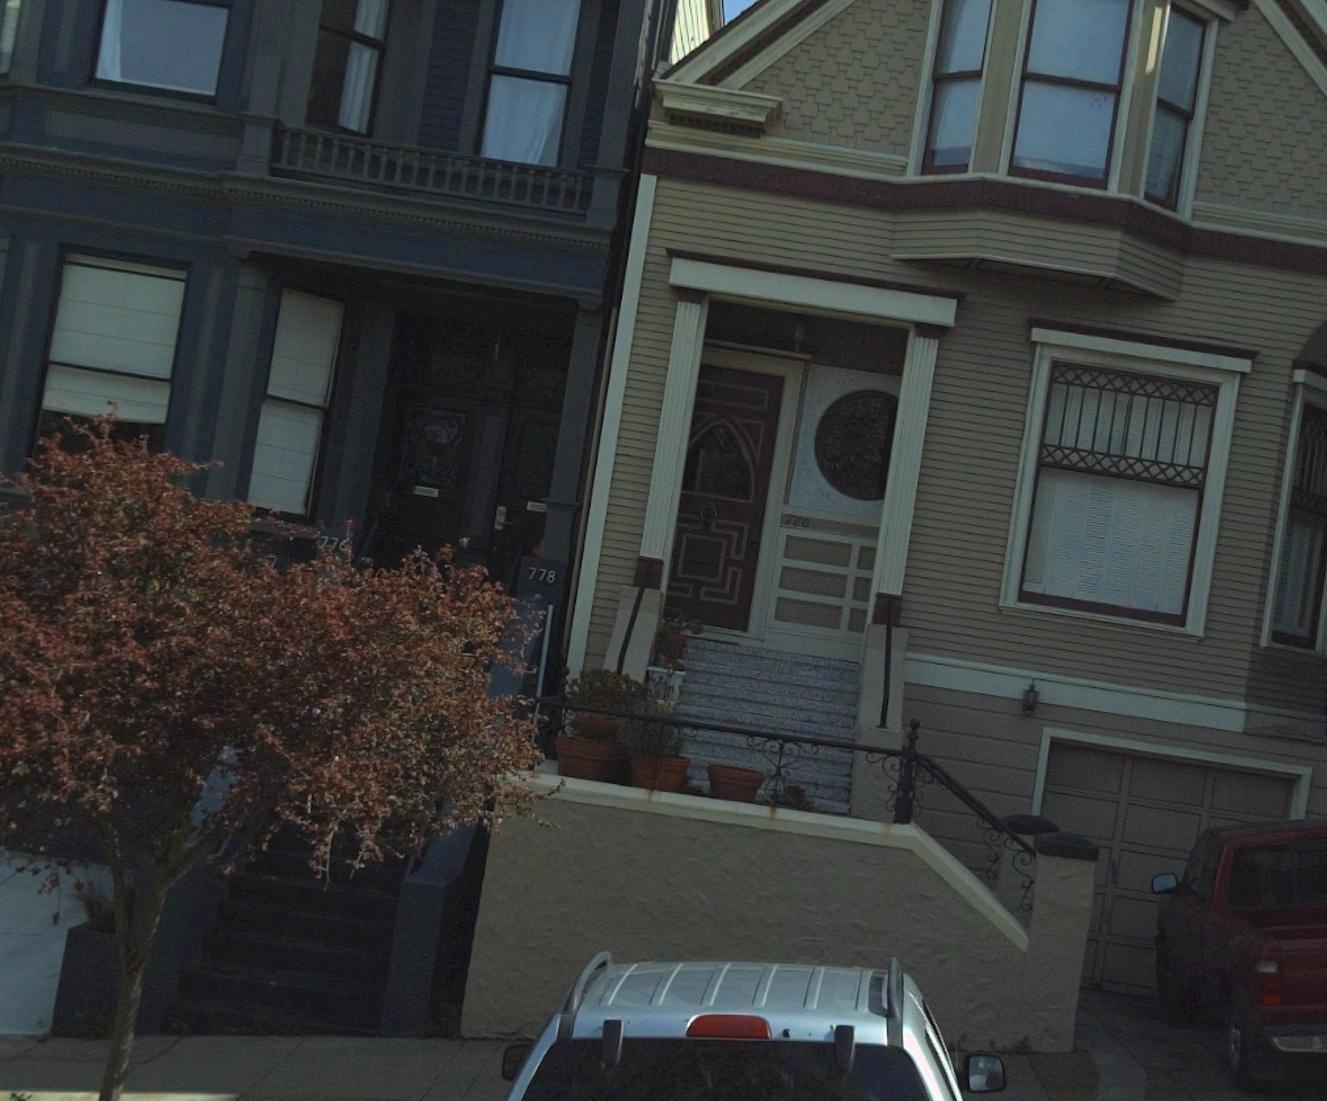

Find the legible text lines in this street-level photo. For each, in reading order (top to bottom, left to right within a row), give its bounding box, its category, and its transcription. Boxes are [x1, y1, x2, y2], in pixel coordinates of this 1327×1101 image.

[782, 512, 813, 531] StreetNumber: 780
[524, 564, 560, 586] StreetNumber: 778